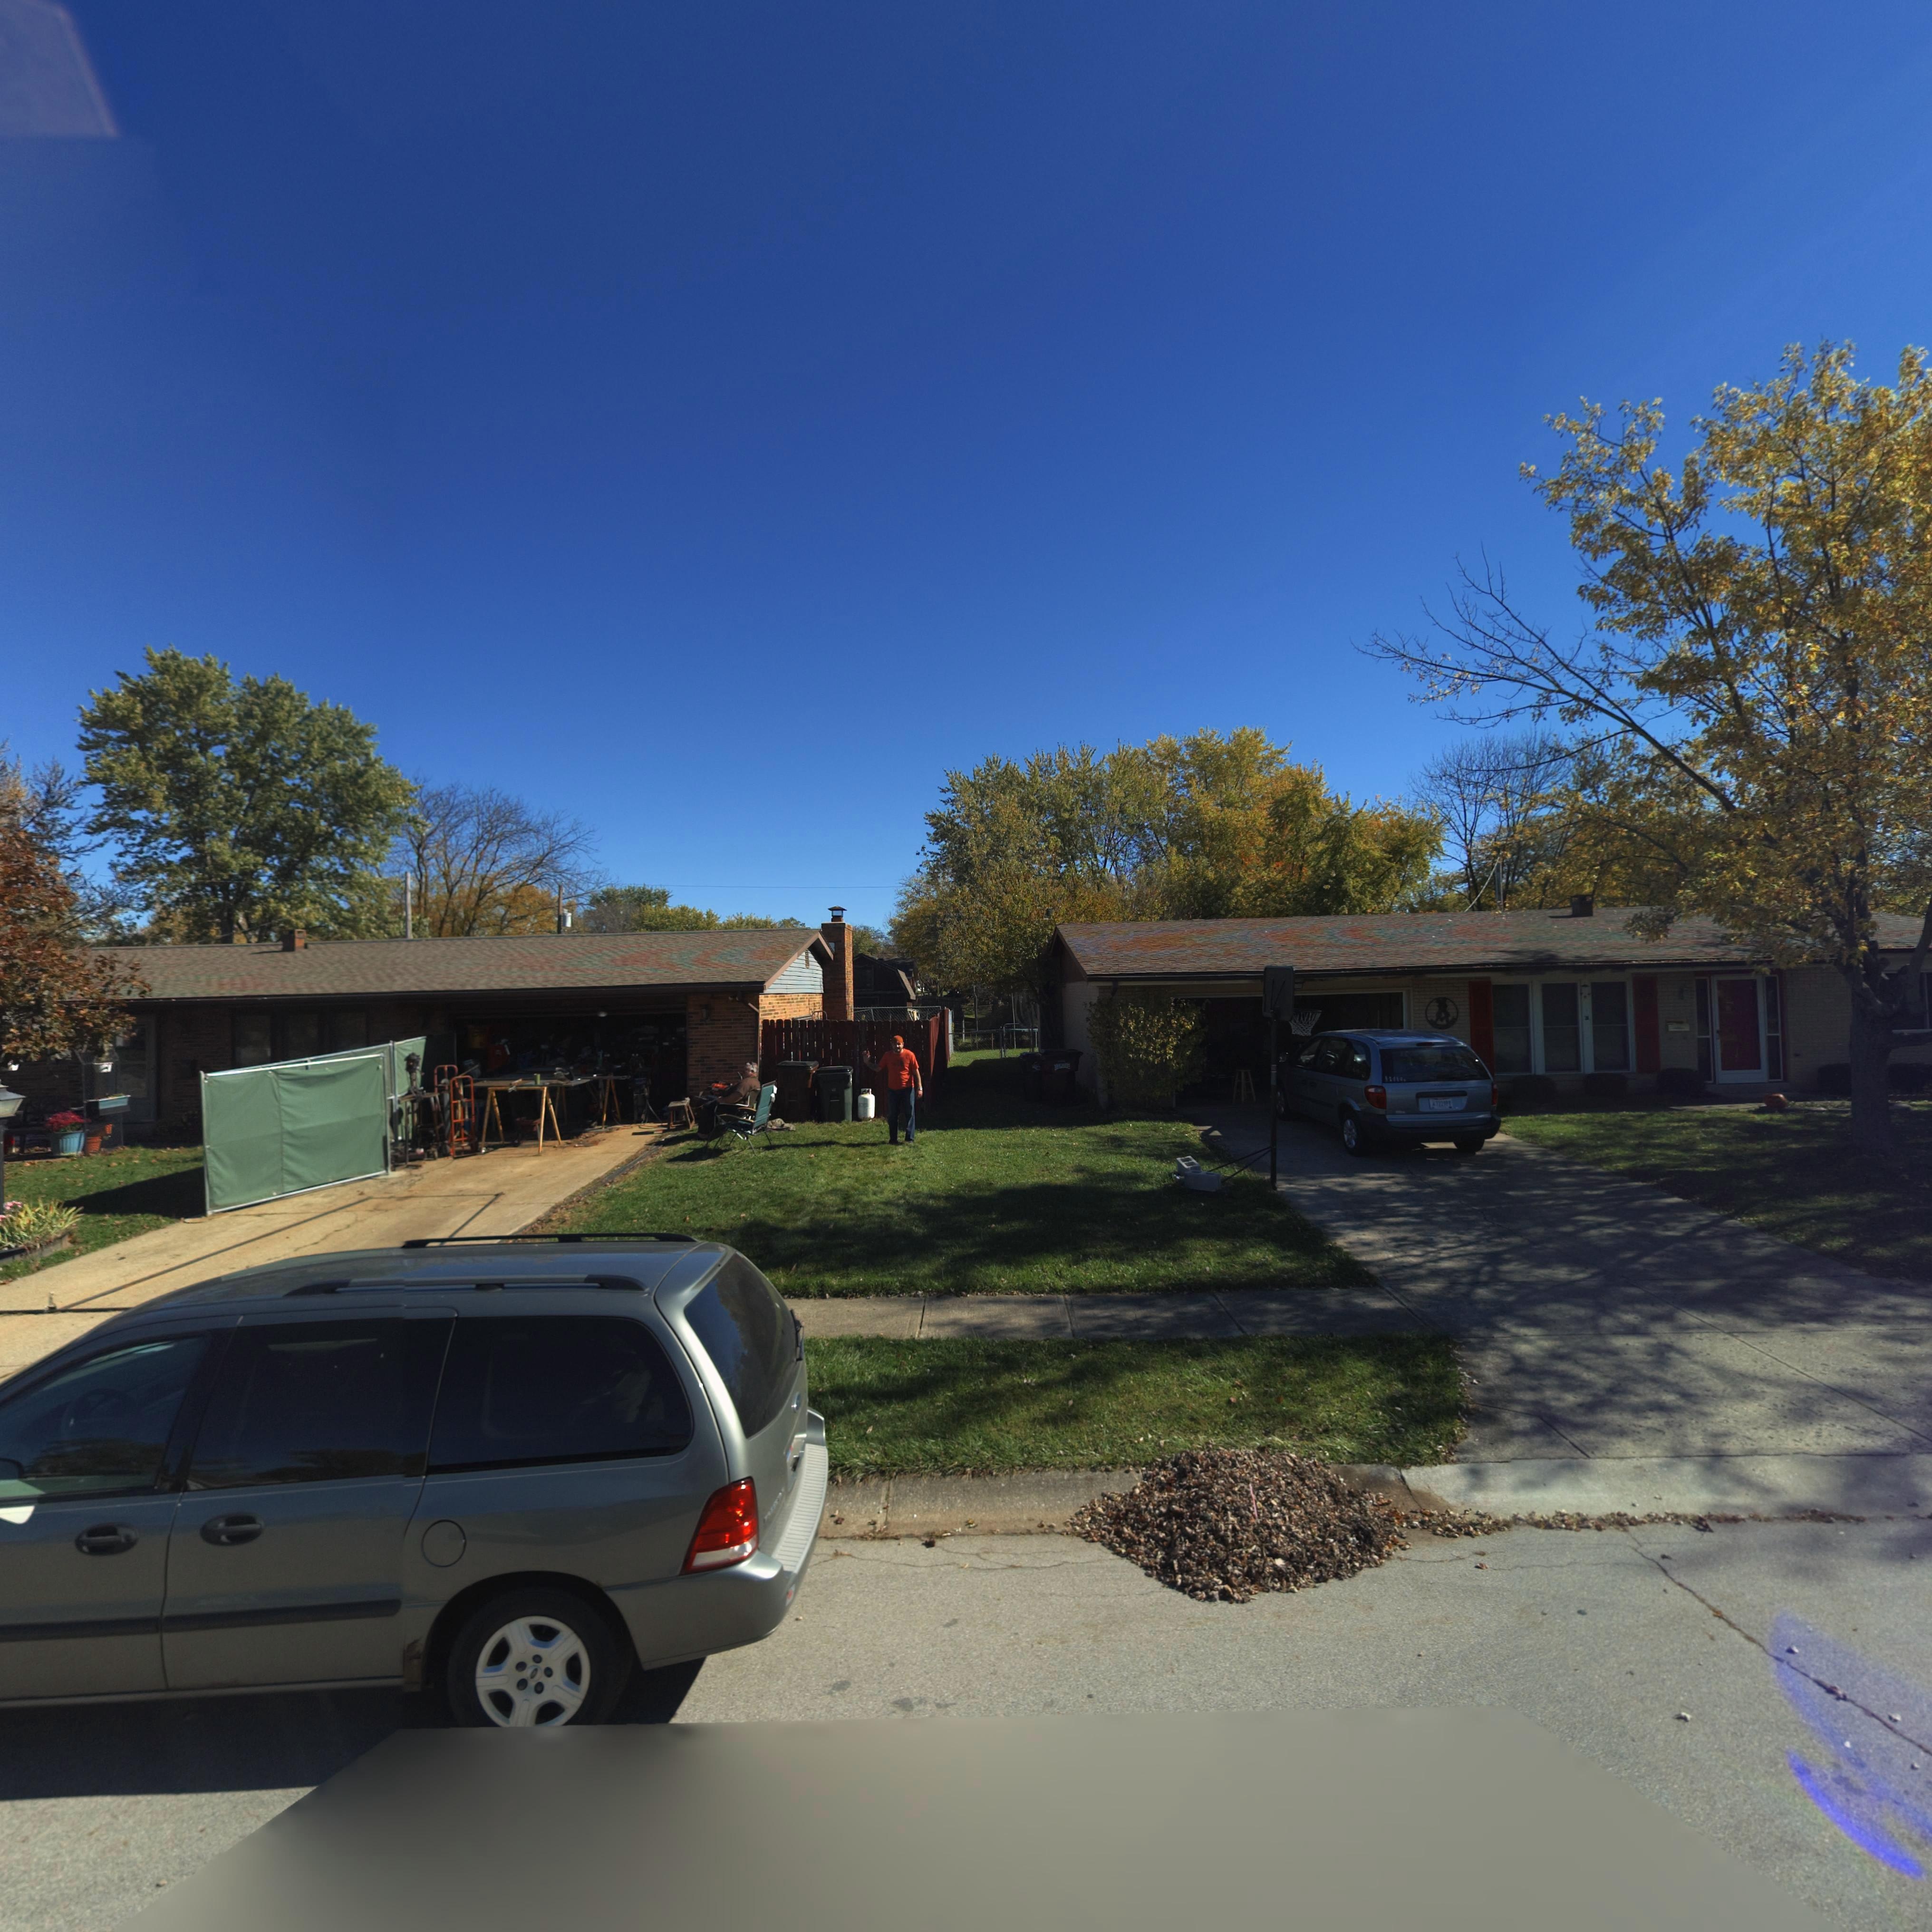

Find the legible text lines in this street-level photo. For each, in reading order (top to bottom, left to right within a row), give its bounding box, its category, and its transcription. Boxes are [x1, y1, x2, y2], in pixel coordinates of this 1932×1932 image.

[560, 999, 575, 1006] StreetNumber: 206